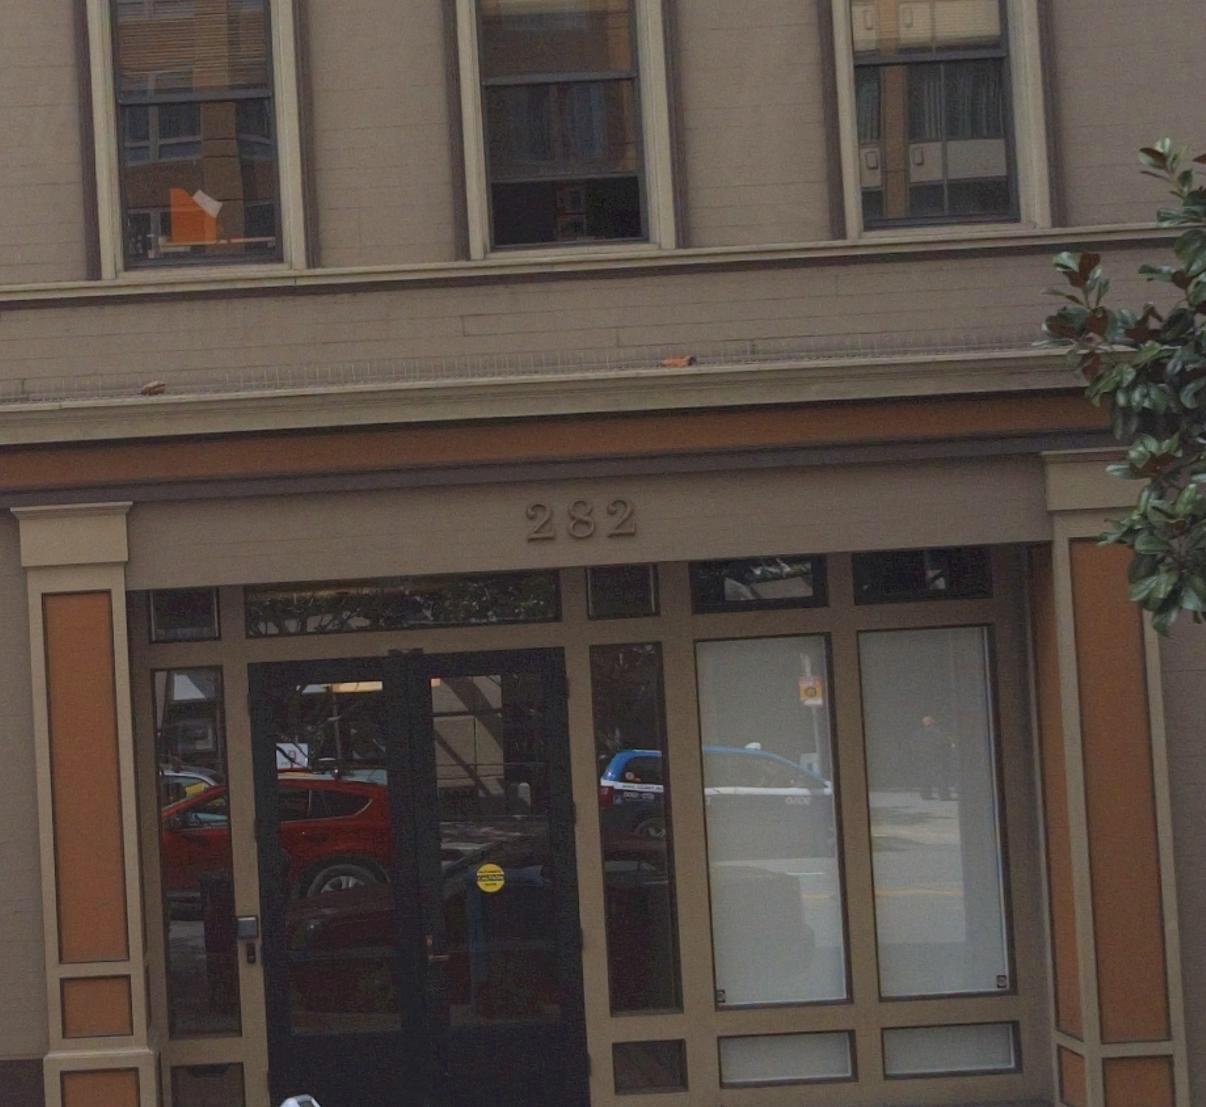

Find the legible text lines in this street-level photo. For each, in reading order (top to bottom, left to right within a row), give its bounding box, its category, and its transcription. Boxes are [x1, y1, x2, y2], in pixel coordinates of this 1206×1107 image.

[525, 496, 638, 541] StreetNumber: 282